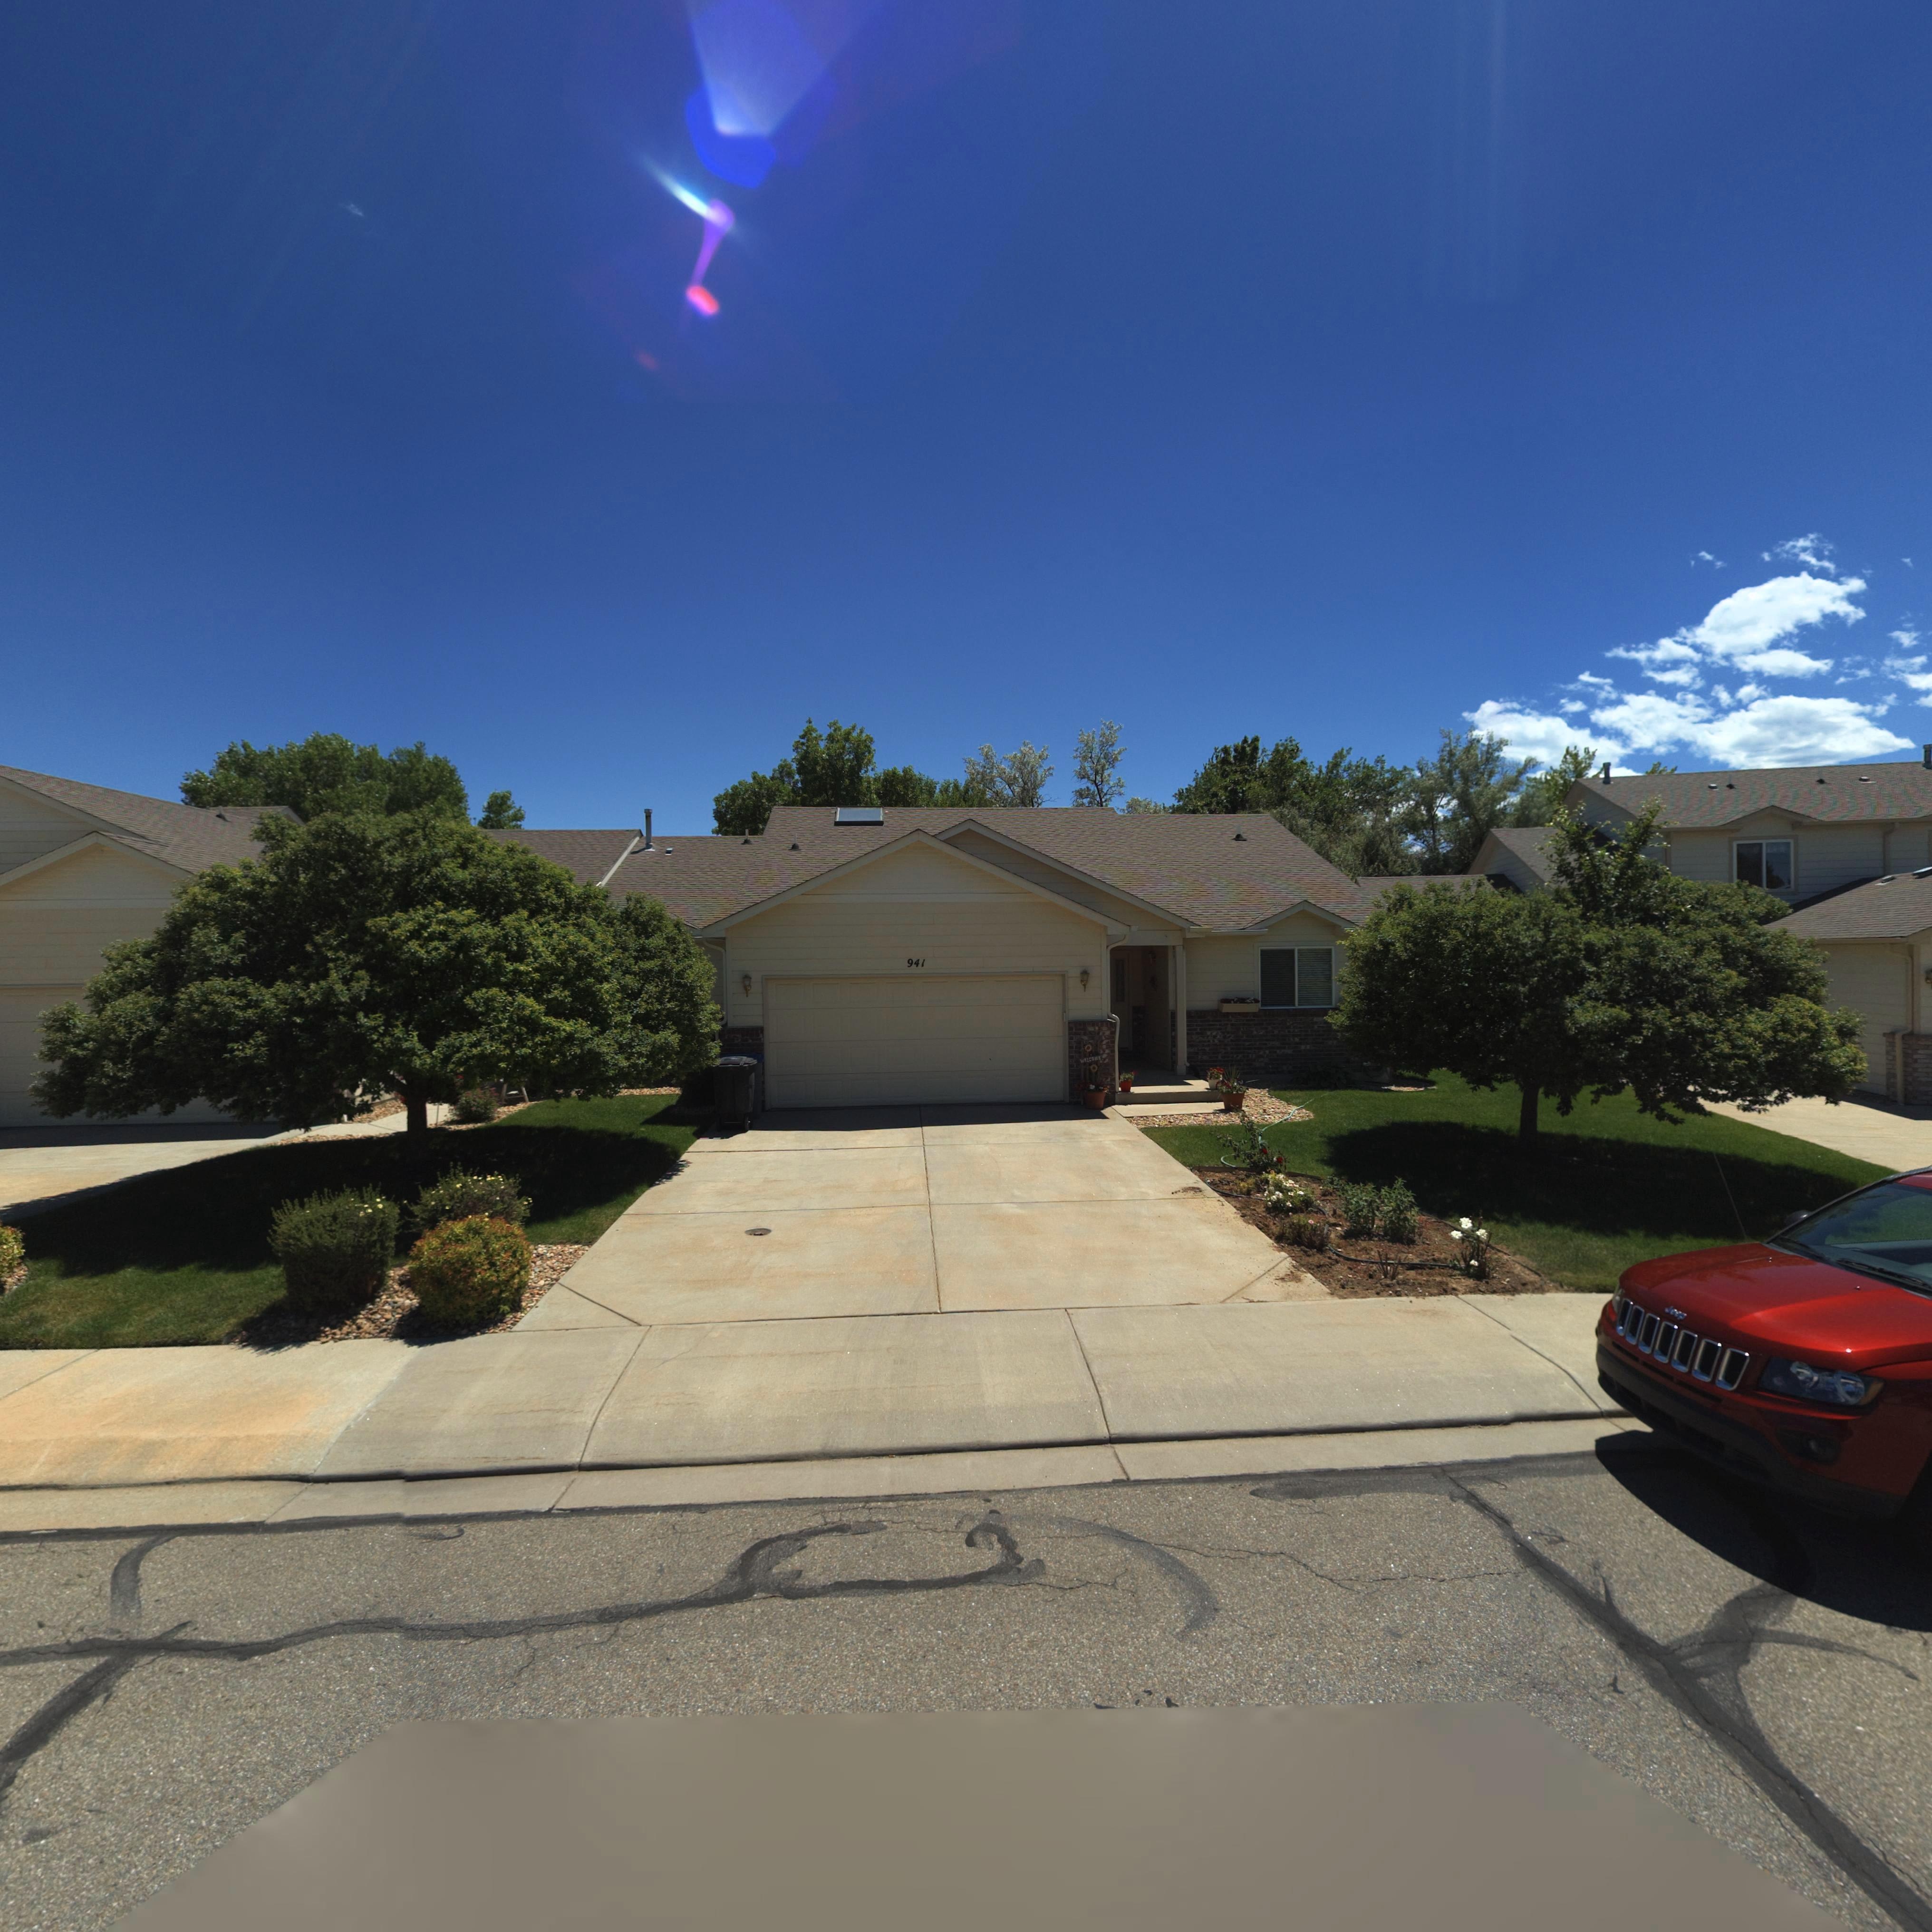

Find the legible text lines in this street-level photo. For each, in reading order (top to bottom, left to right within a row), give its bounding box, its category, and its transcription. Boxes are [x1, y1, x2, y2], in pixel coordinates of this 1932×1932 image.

[906, 957, 926, 967] StreetNumber: 941